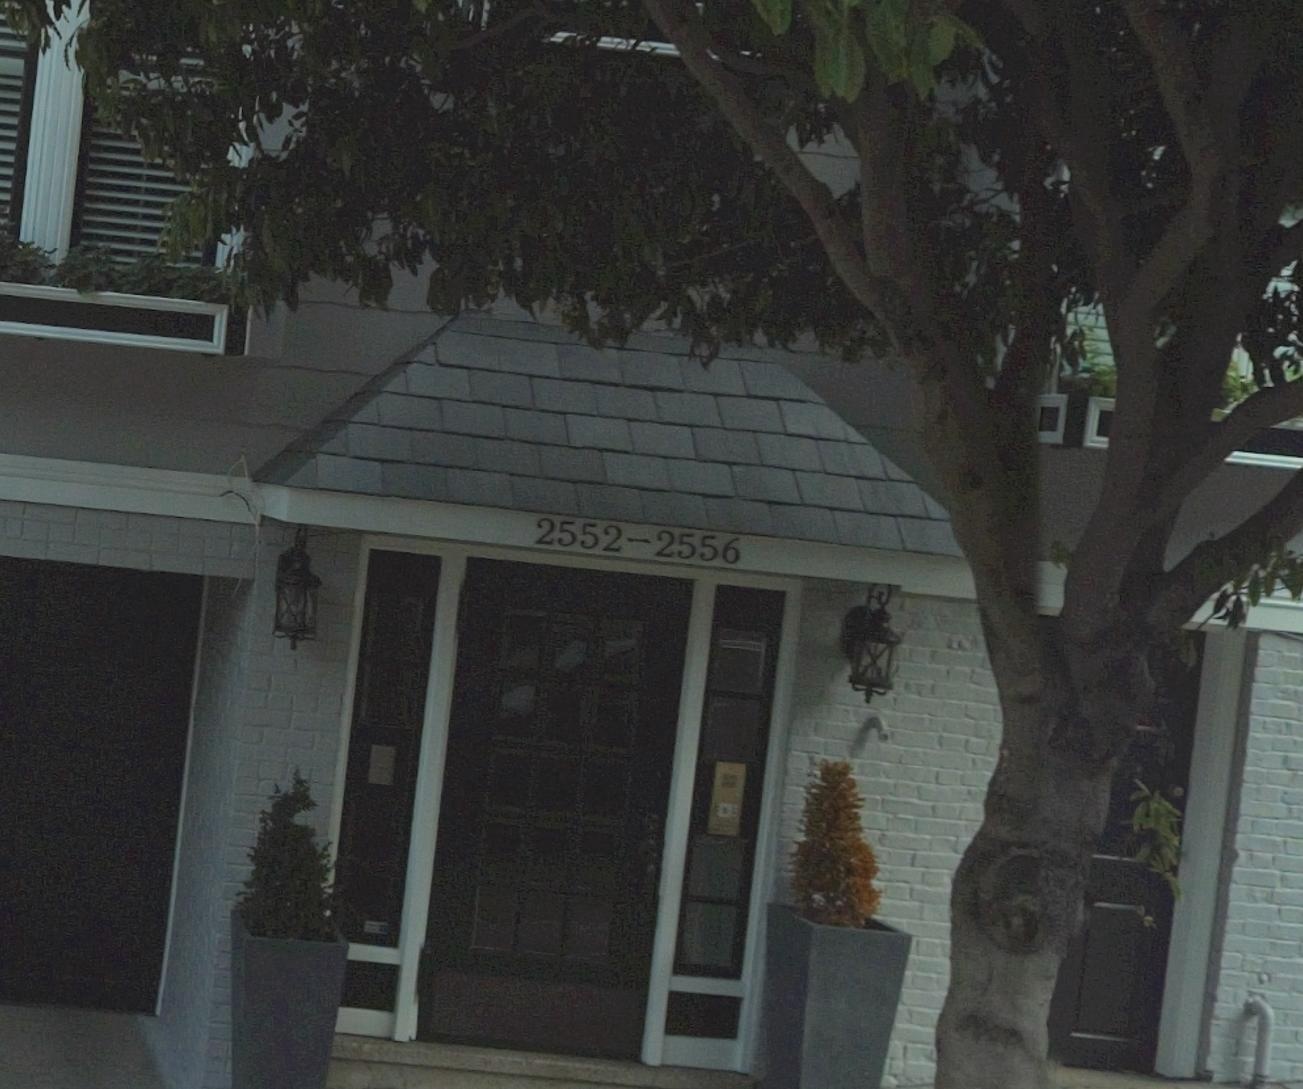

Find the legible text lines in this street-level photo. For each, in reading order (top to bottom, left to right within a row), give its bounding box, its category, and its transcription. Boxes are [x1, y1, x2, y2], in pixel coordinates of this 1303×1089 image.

[530, 514, 626, 556] StreetNumber: 2552
[650, 527, 744, 567] StreetNumber: 2556